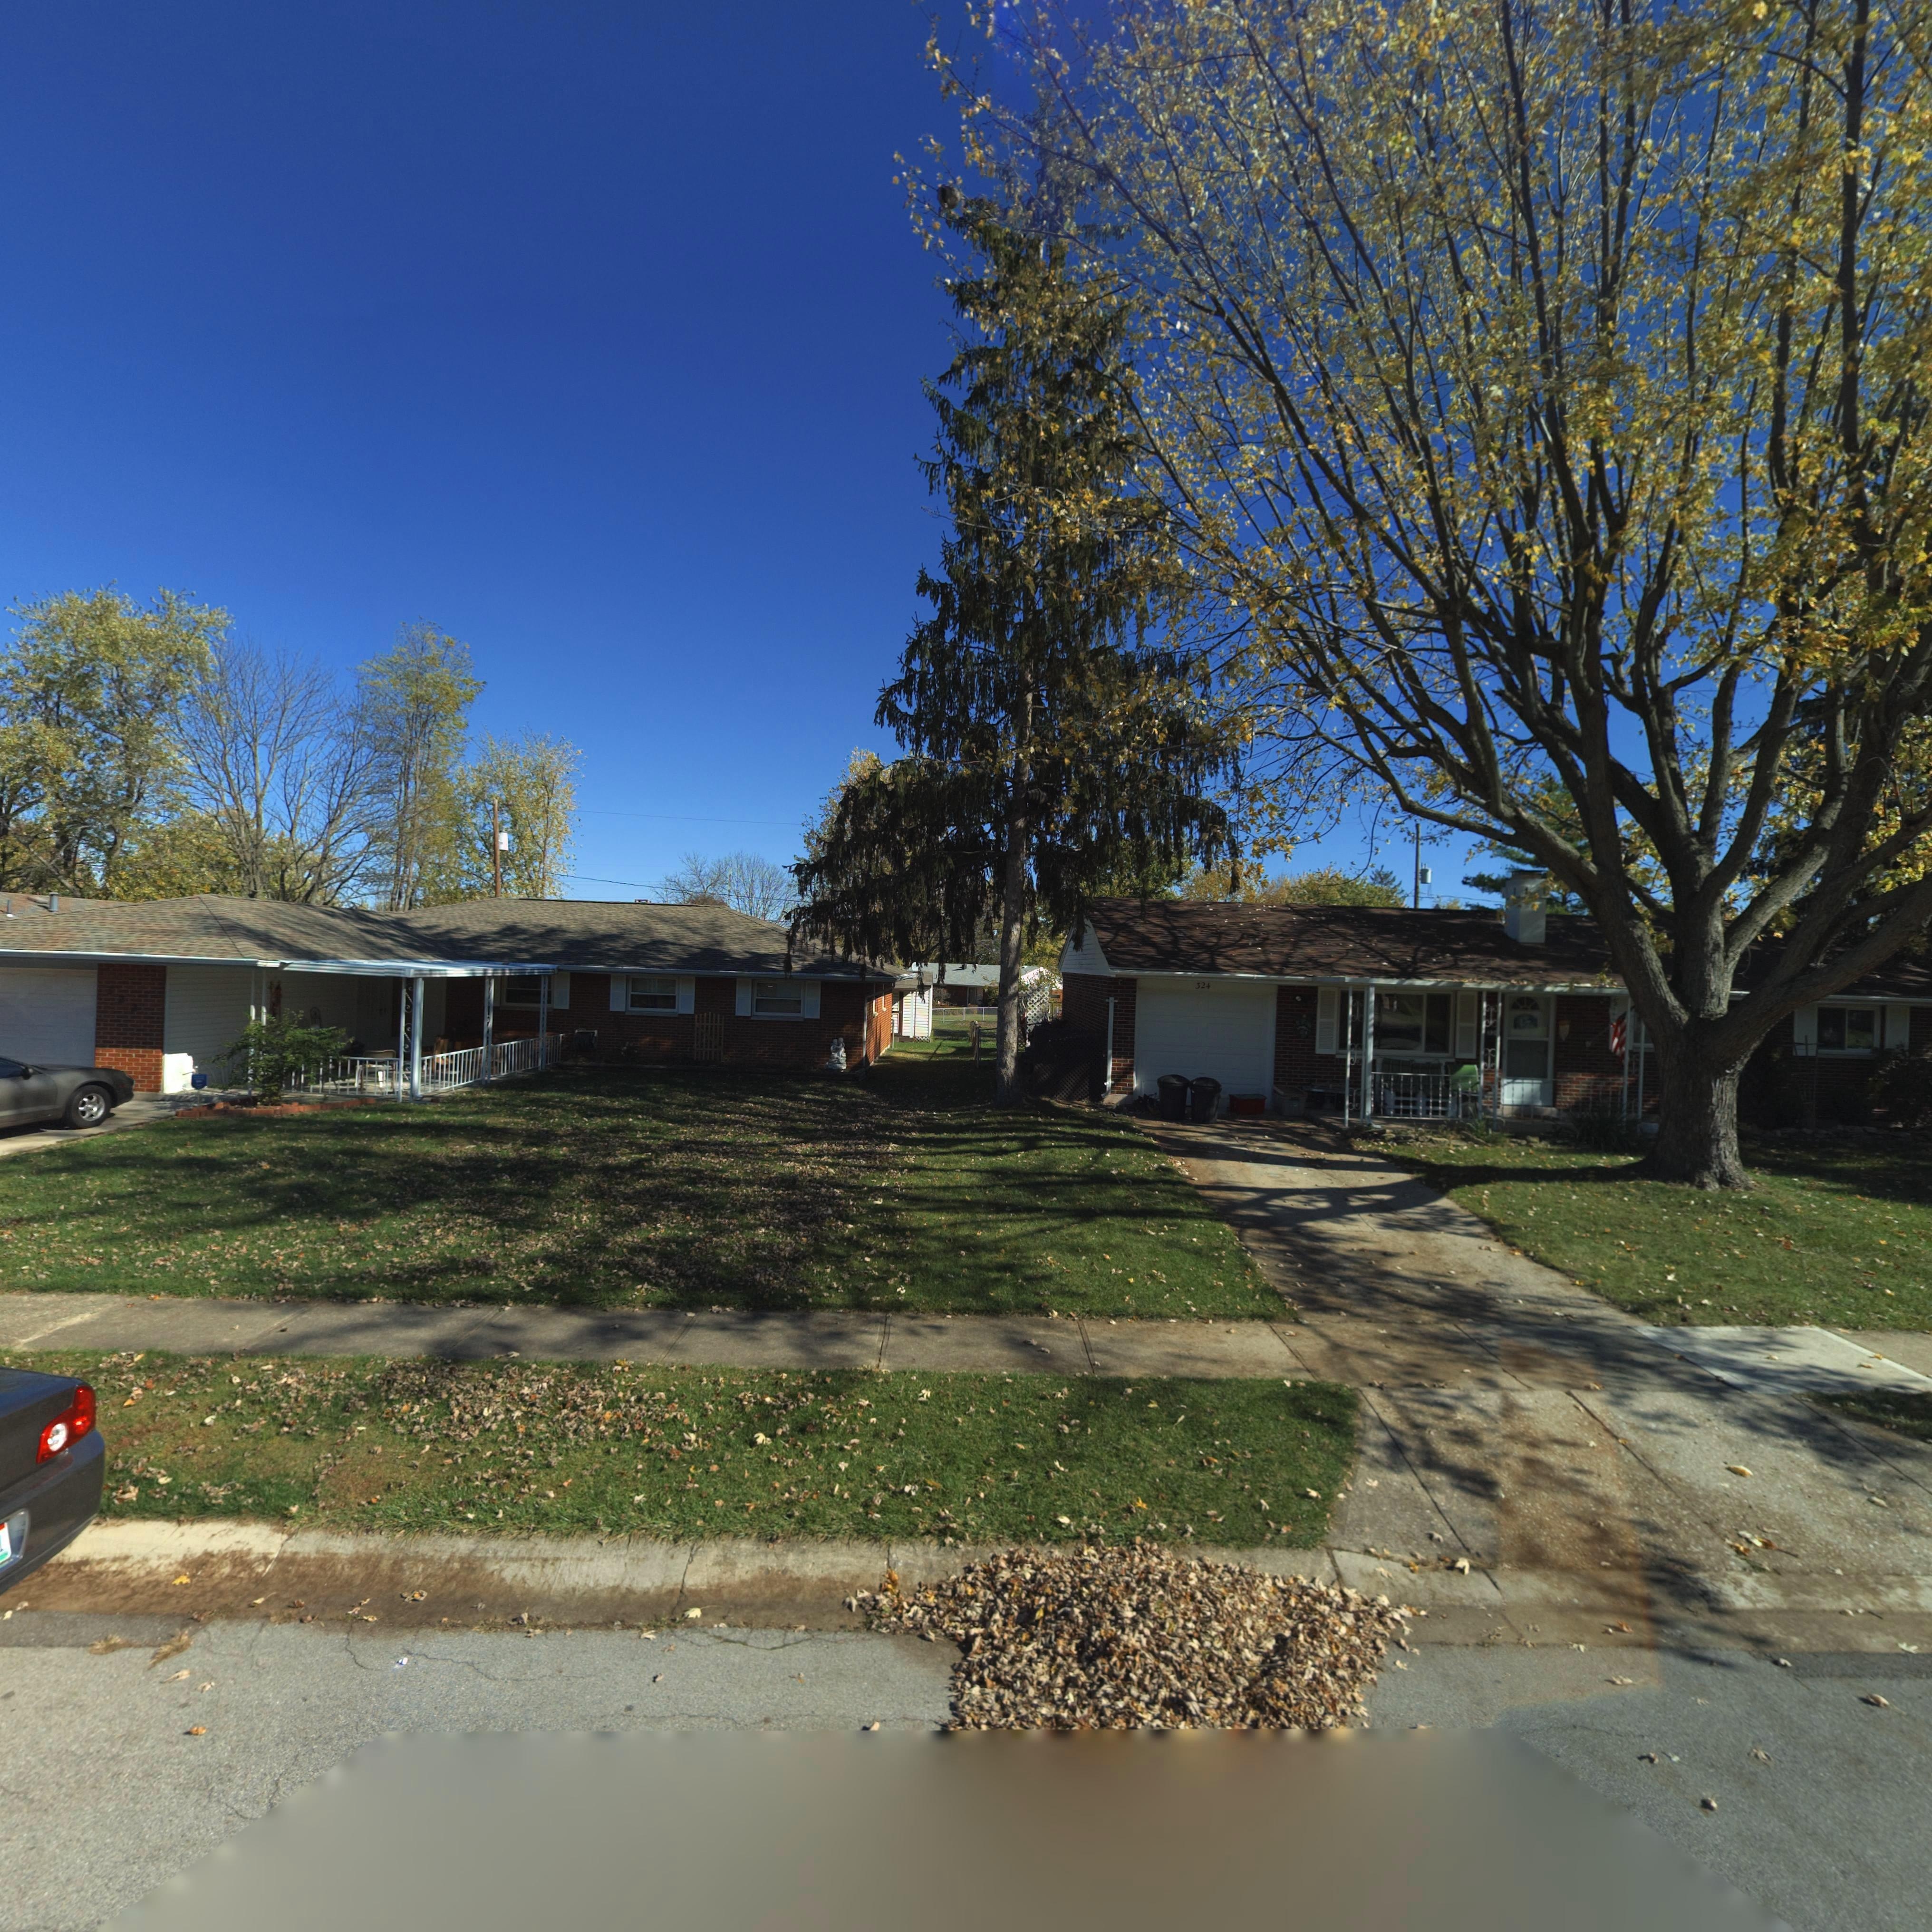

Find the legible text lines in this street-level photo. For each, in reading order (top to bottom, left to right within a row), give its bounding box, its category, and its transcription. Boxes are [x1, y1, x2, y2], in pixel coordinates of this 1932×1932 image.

[1194, 981, 1211, 990] StreetNumber: 324